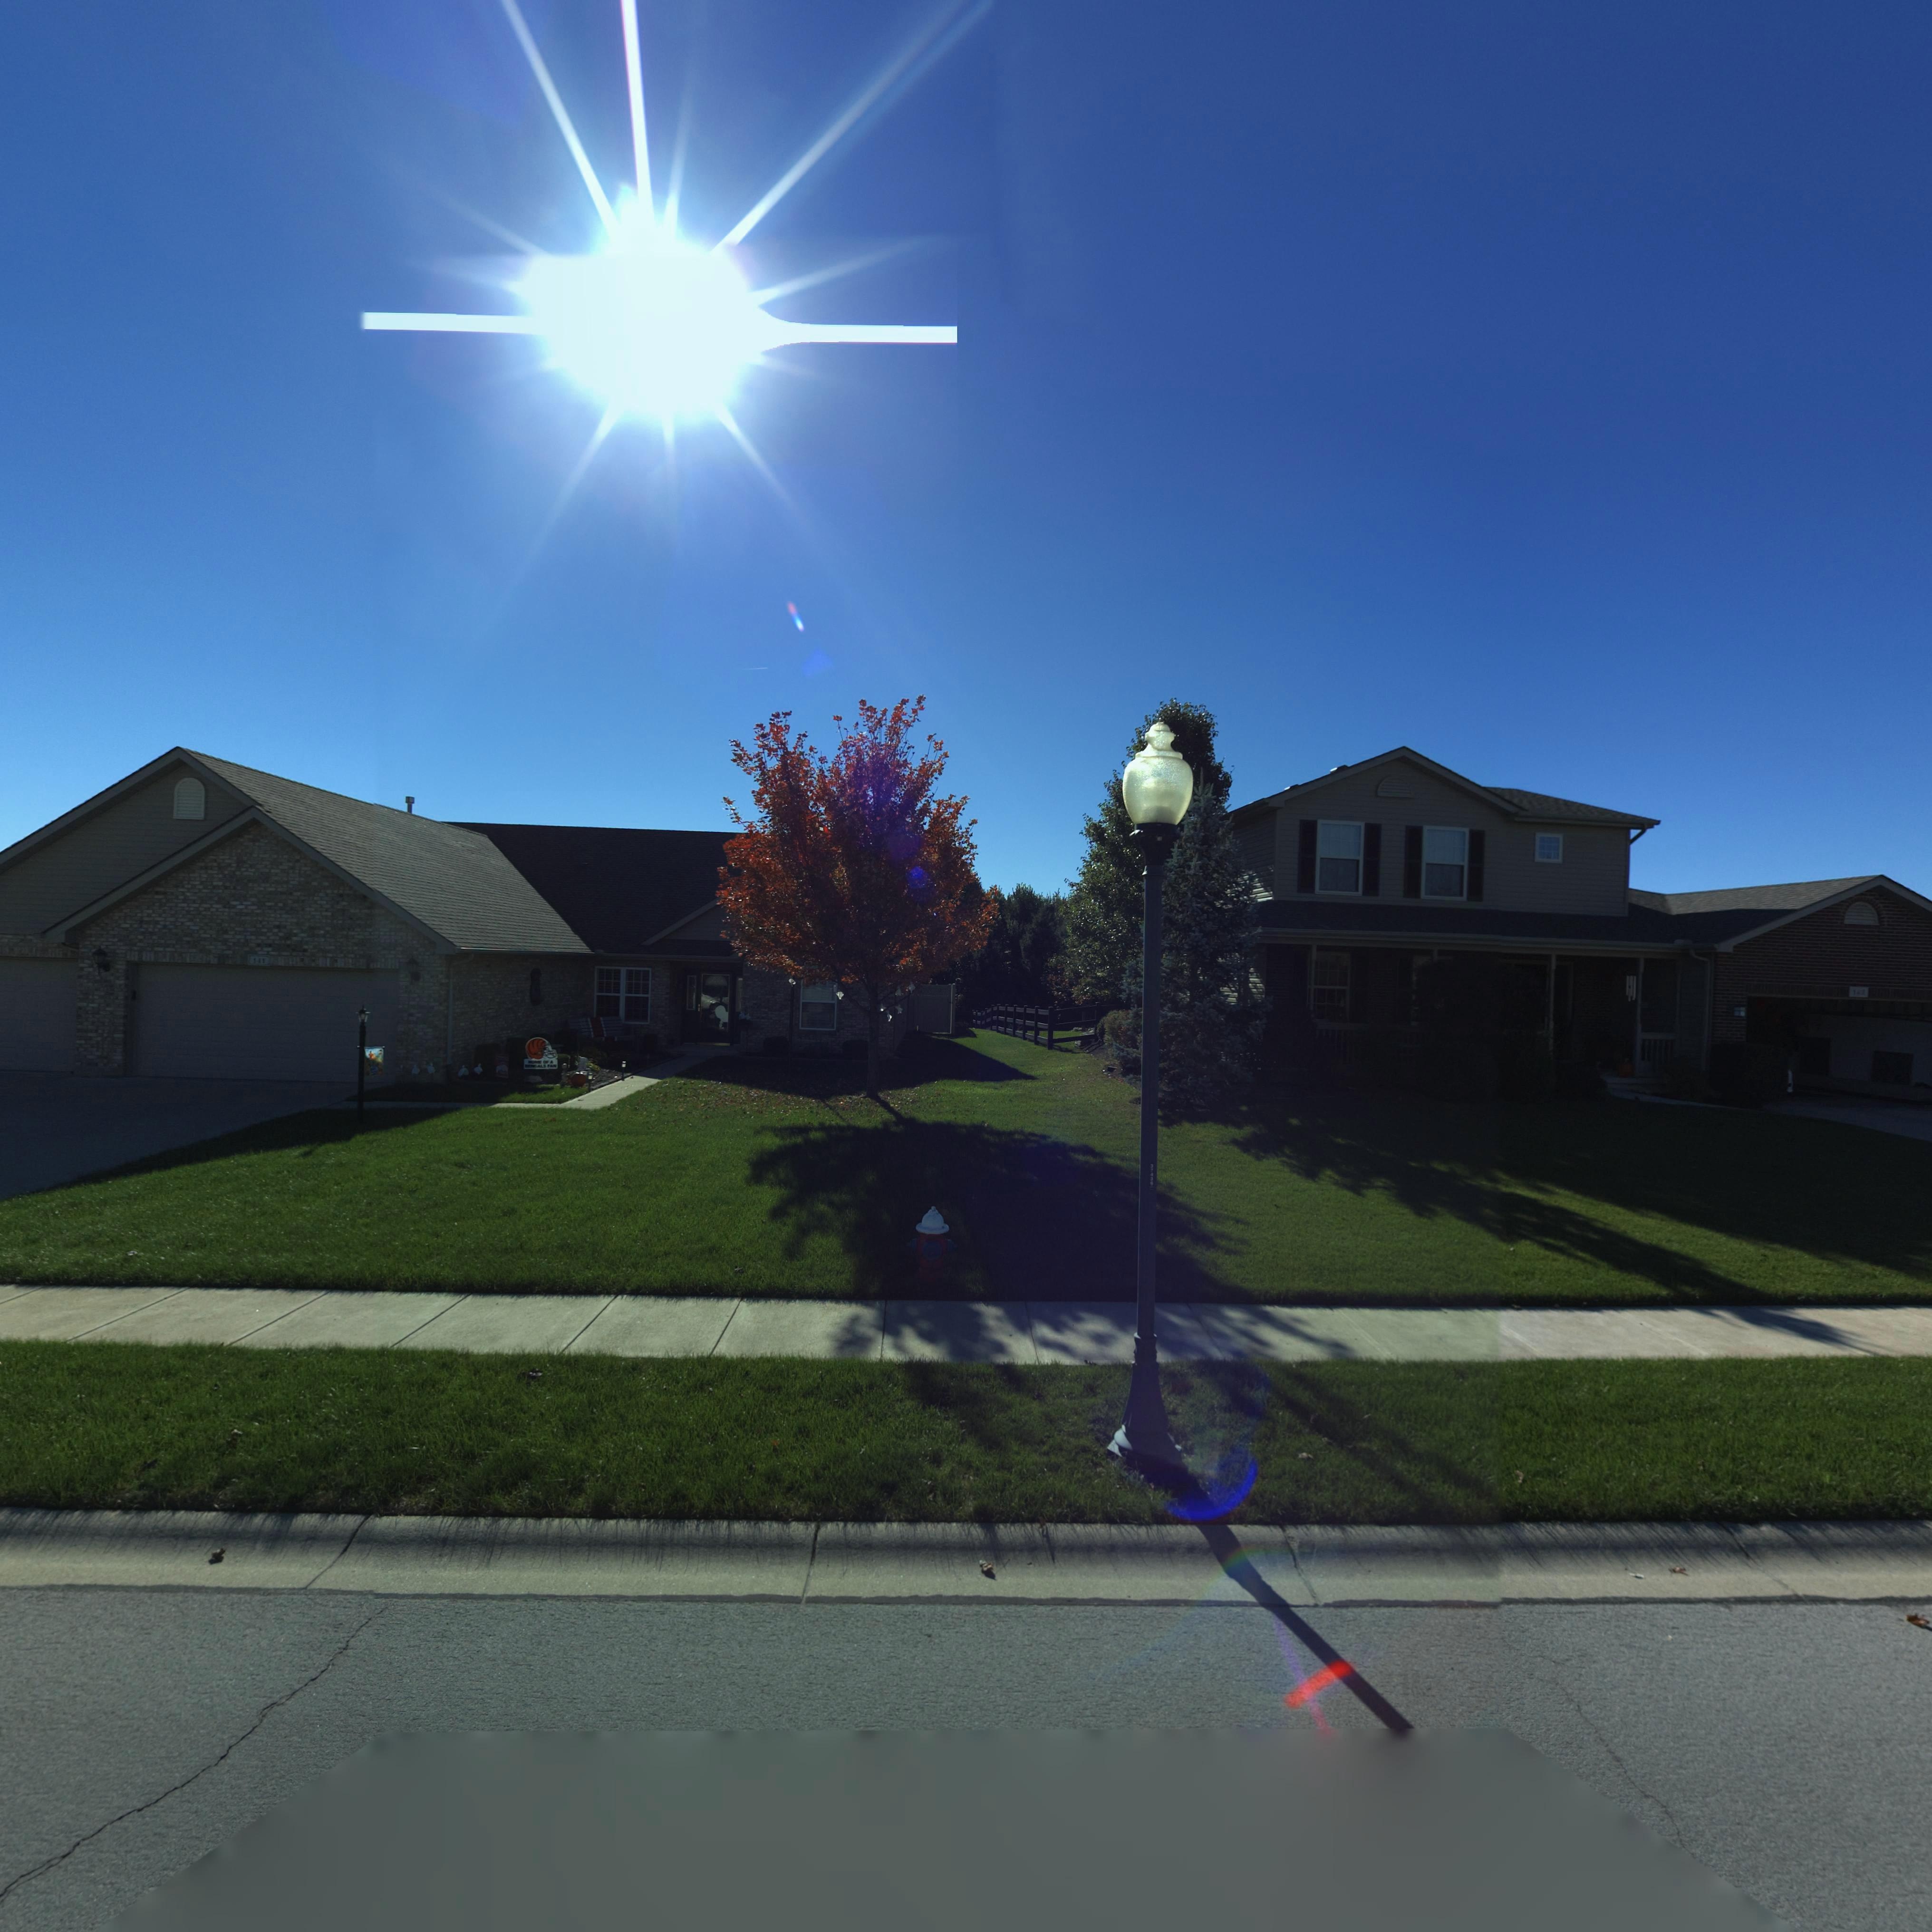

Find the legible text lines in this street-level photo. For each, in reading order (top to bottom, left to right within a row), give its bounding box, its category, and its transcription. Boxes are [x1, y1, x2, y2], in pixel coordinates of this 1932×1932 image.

[252, 957, 266, 964] StreetNumber: 1*1
[1852, 989, 1865, 995] StreetNumber: 14*